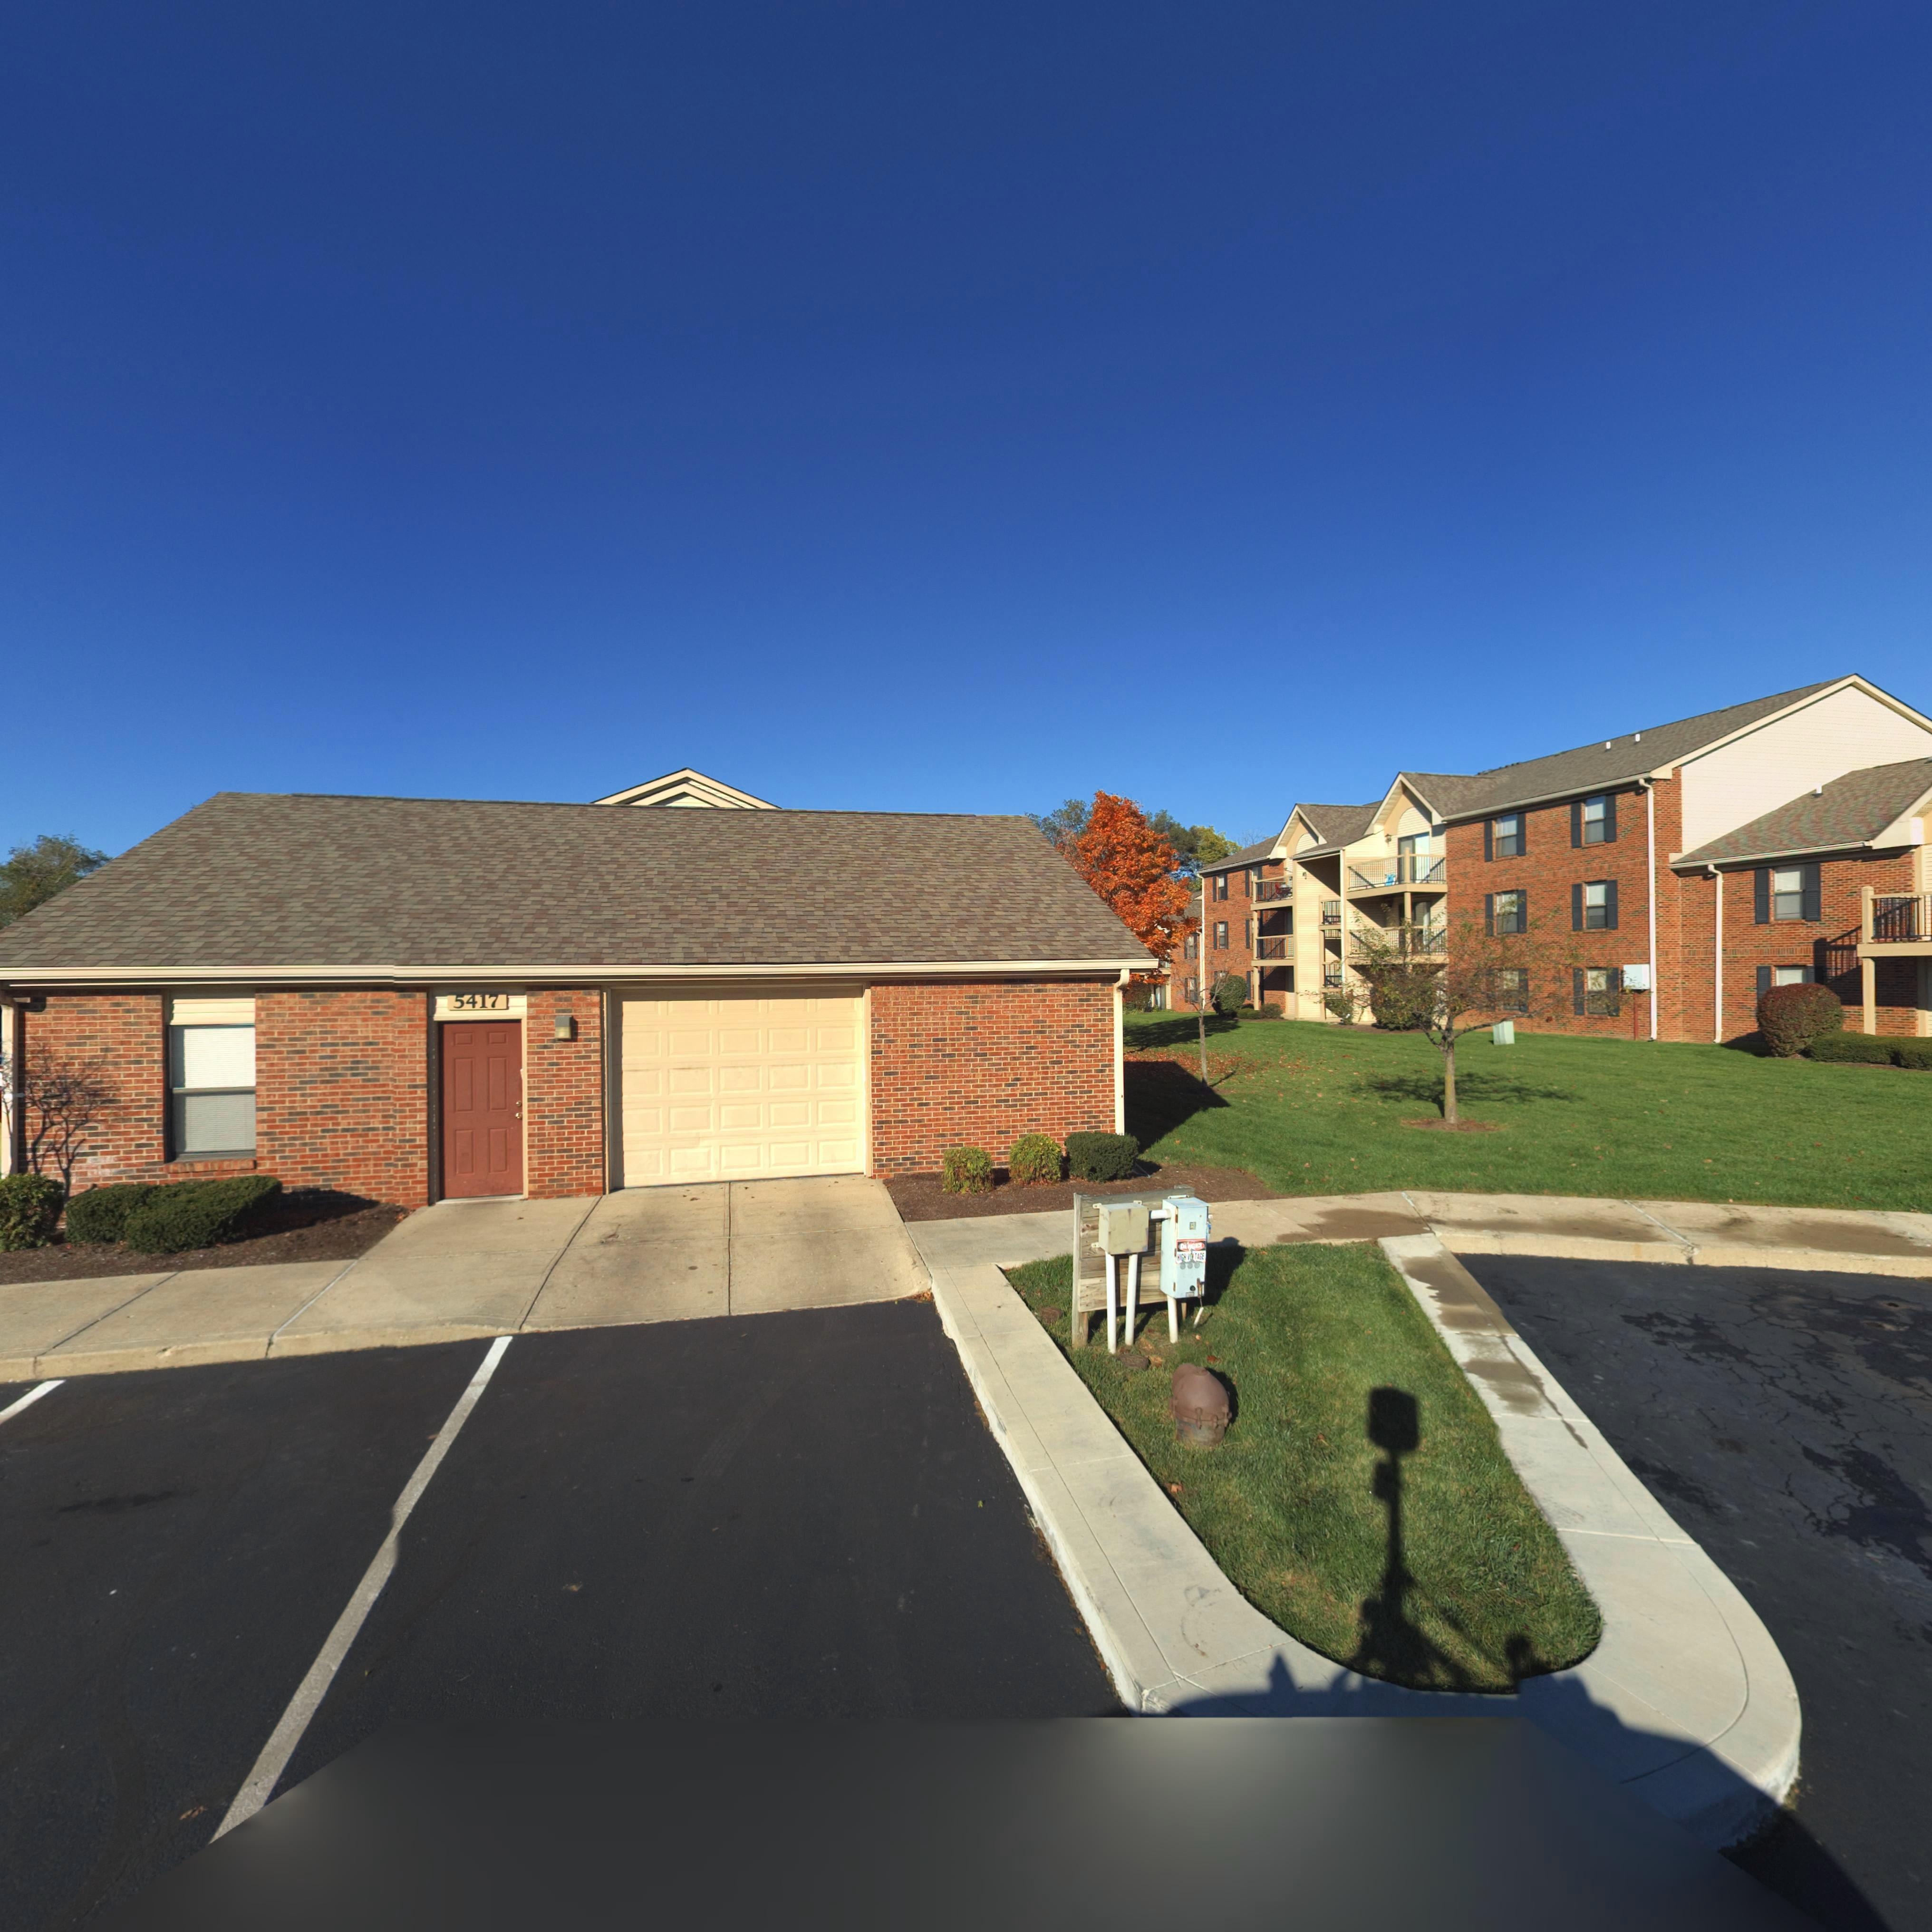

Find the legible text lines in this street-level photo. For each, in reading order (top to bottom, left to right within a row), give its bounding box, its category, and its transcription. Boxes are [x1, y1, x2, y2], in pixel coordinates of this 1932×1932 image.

[453, 992, 499, 1009] StreetNumber: 5417